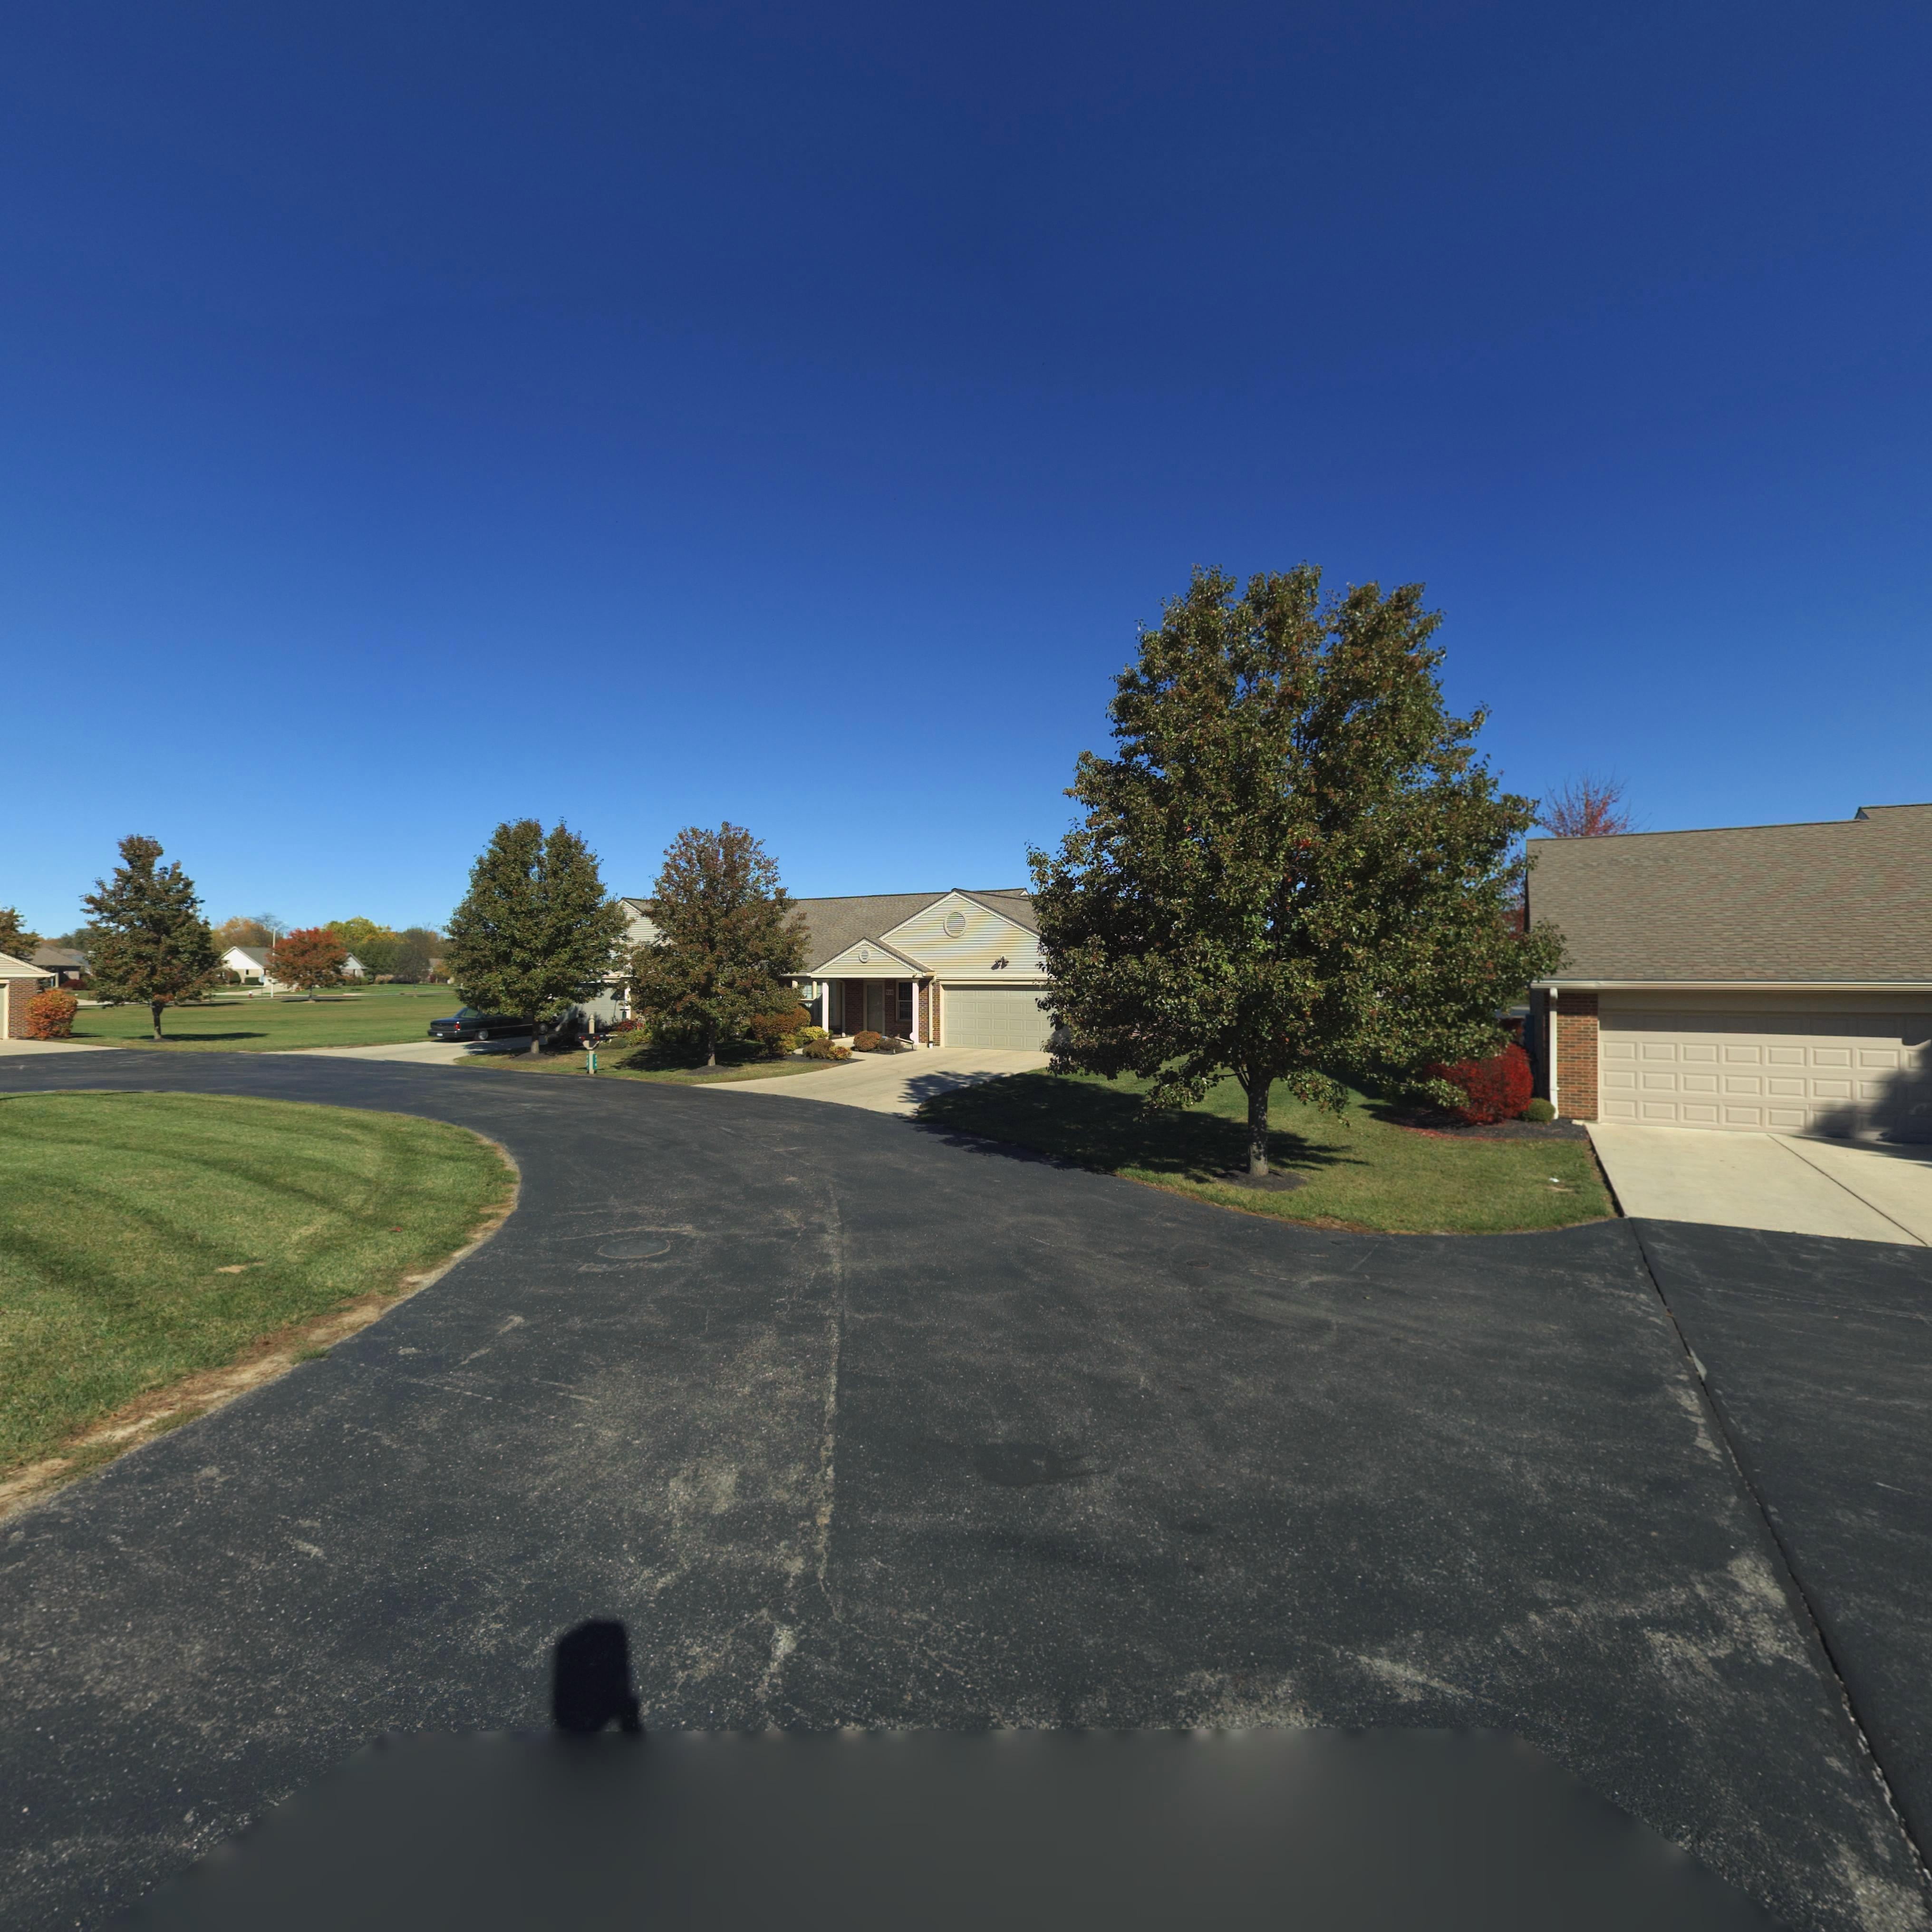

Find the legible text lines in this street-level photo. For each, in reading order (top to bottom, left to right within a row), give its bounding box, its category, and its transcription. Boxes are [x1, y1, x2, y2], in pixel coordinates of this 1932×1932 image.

[886, 990, 894, 994] StreetNumber: 710